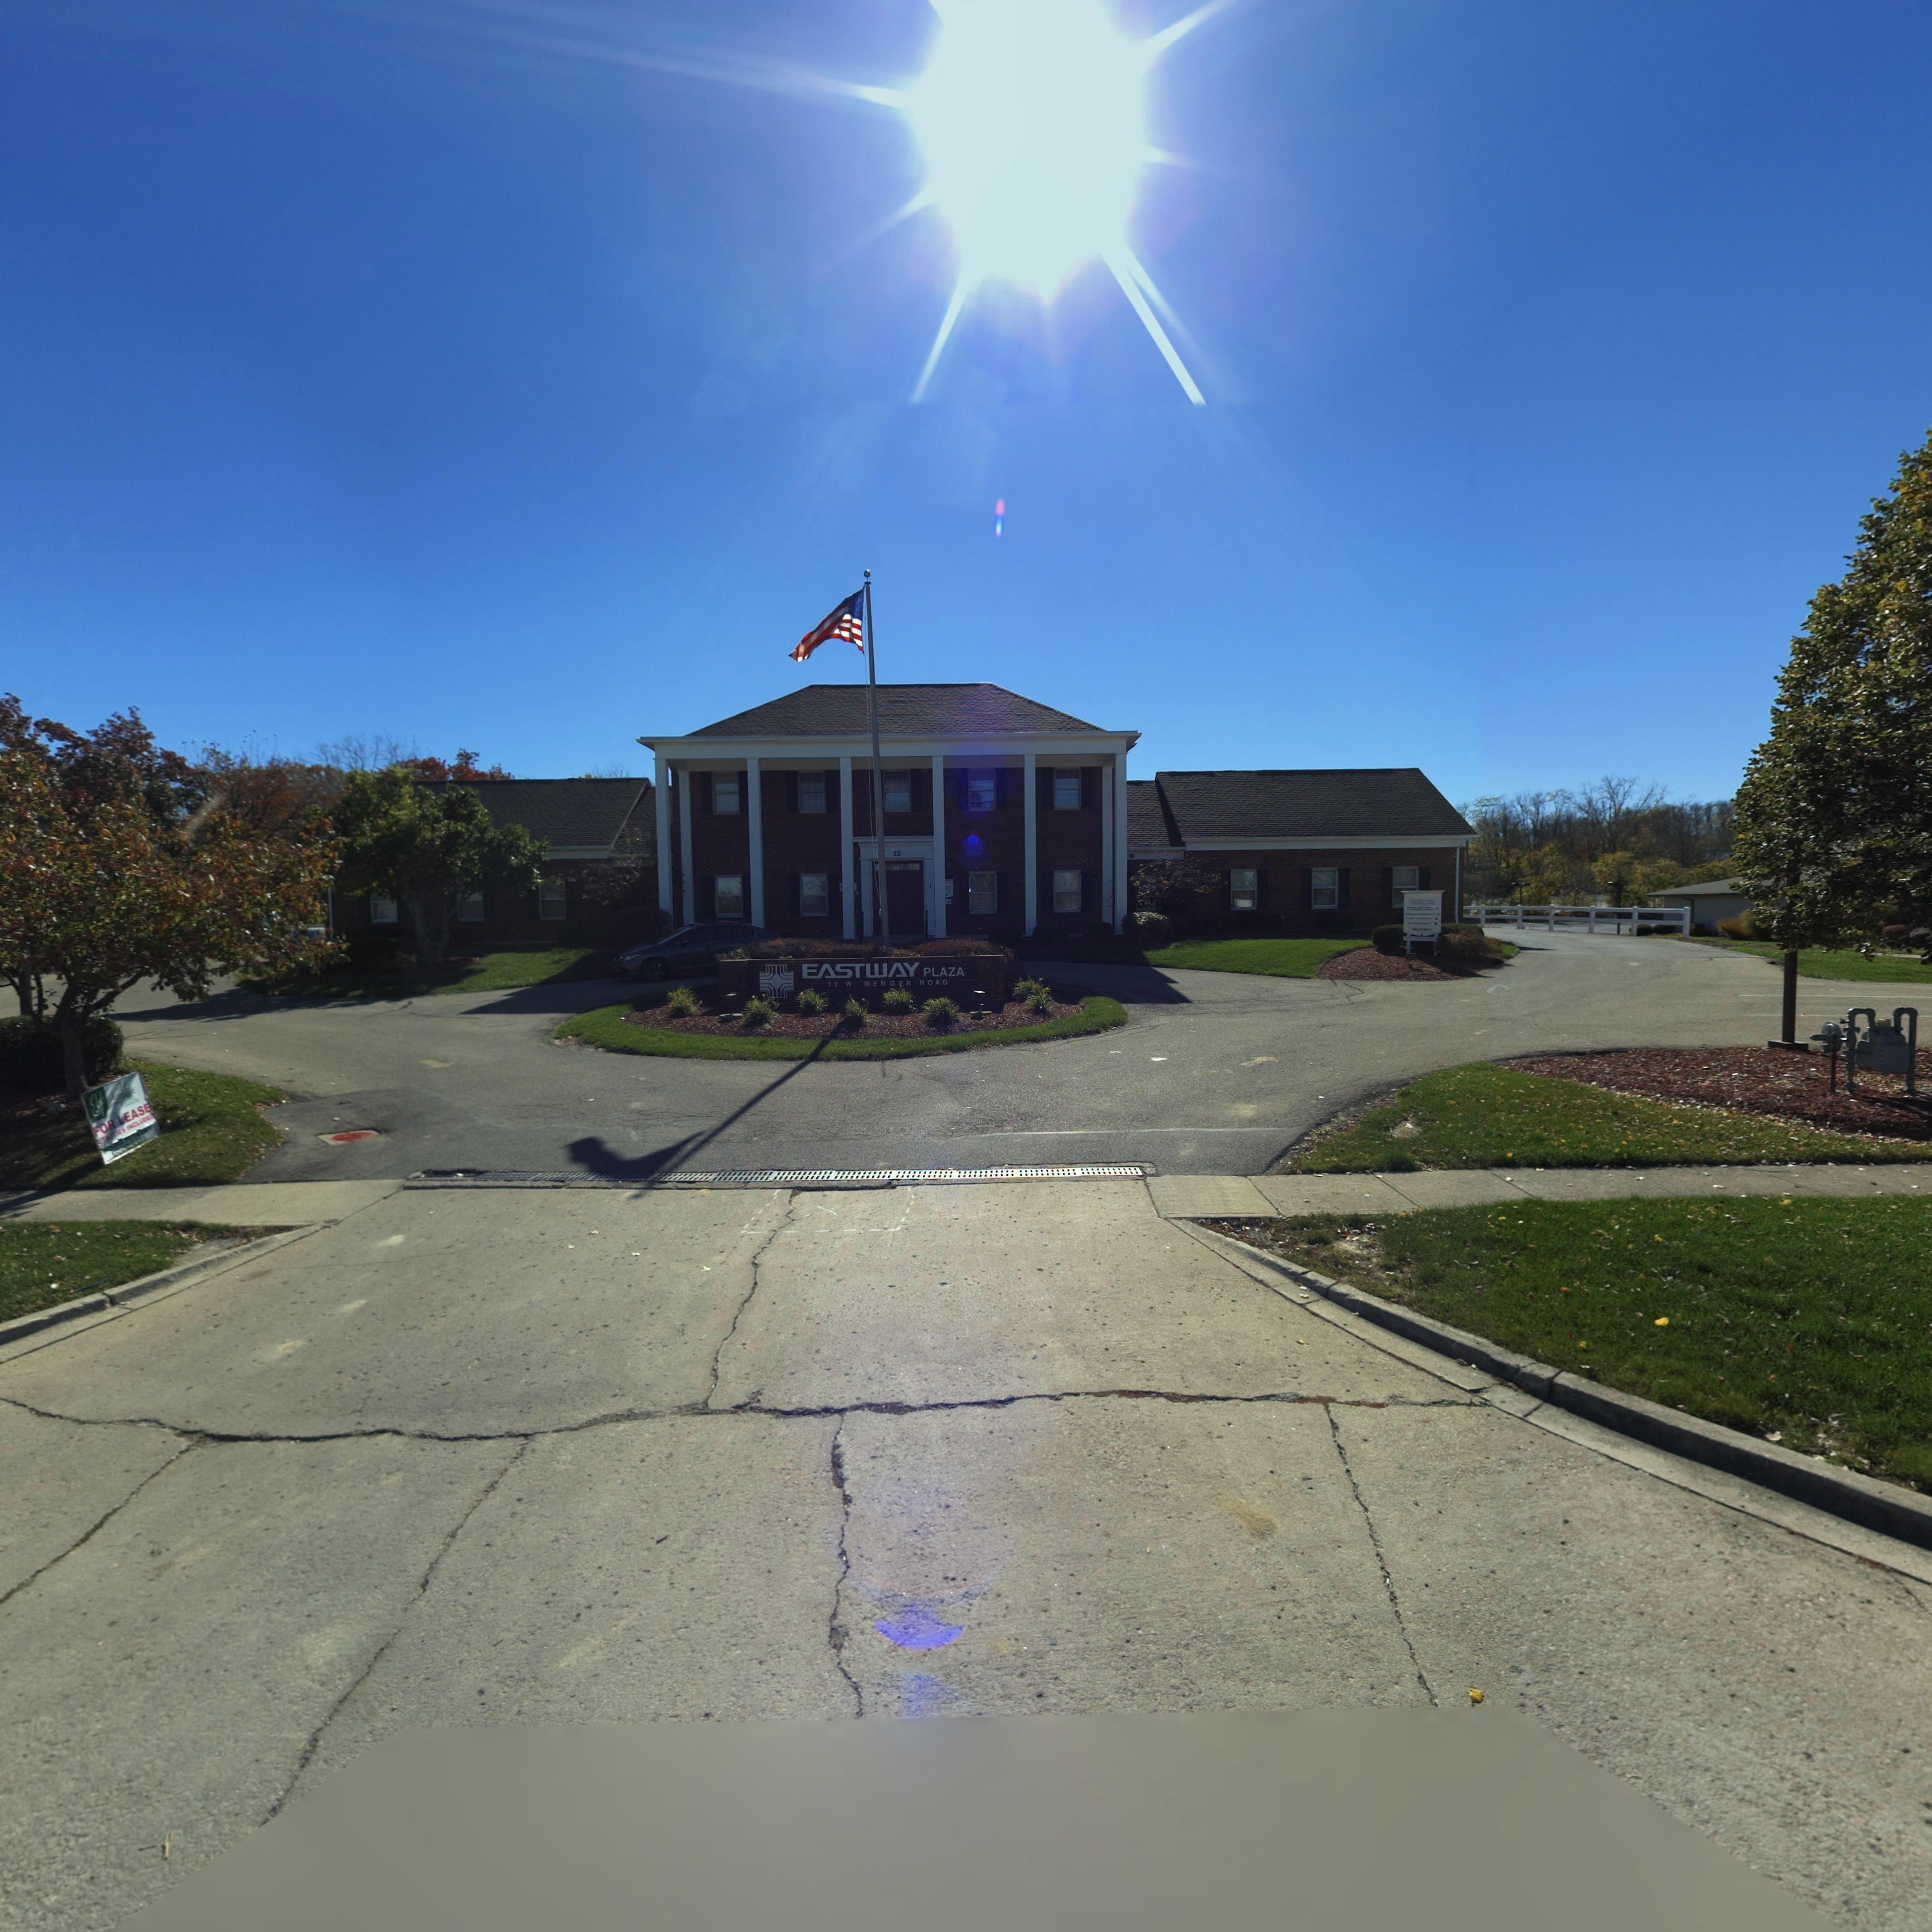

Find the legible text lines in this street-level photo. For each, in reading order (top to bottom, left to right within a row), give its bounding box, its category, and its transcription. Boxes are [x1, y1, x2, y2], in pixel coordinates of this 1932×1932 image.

[893, 850, 902, 857] StreetNumber: 12
[801, 961, 967, 980] BusinessName: EASTWAY PLAZA
[827, 981, 839, 988] StreetNumber: 12
[844, 979, 948, 988] StreetName: W WENGER ROAD